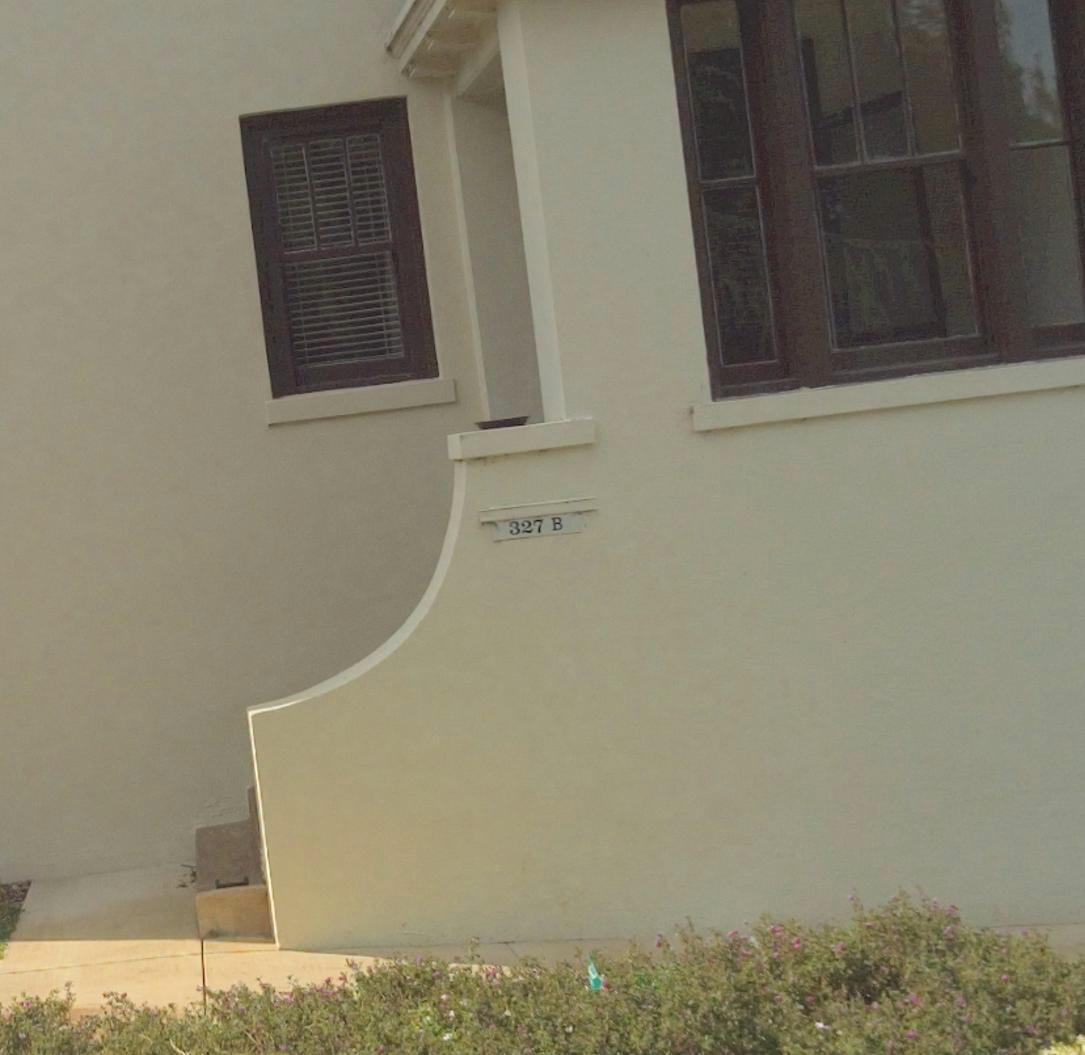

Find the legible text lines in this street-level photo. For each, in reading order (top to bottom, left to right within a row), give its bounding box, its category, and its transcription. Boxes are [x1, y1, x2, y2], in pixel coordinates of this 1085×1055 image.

[508, 515, 565, 537] StreetNumber: 327B